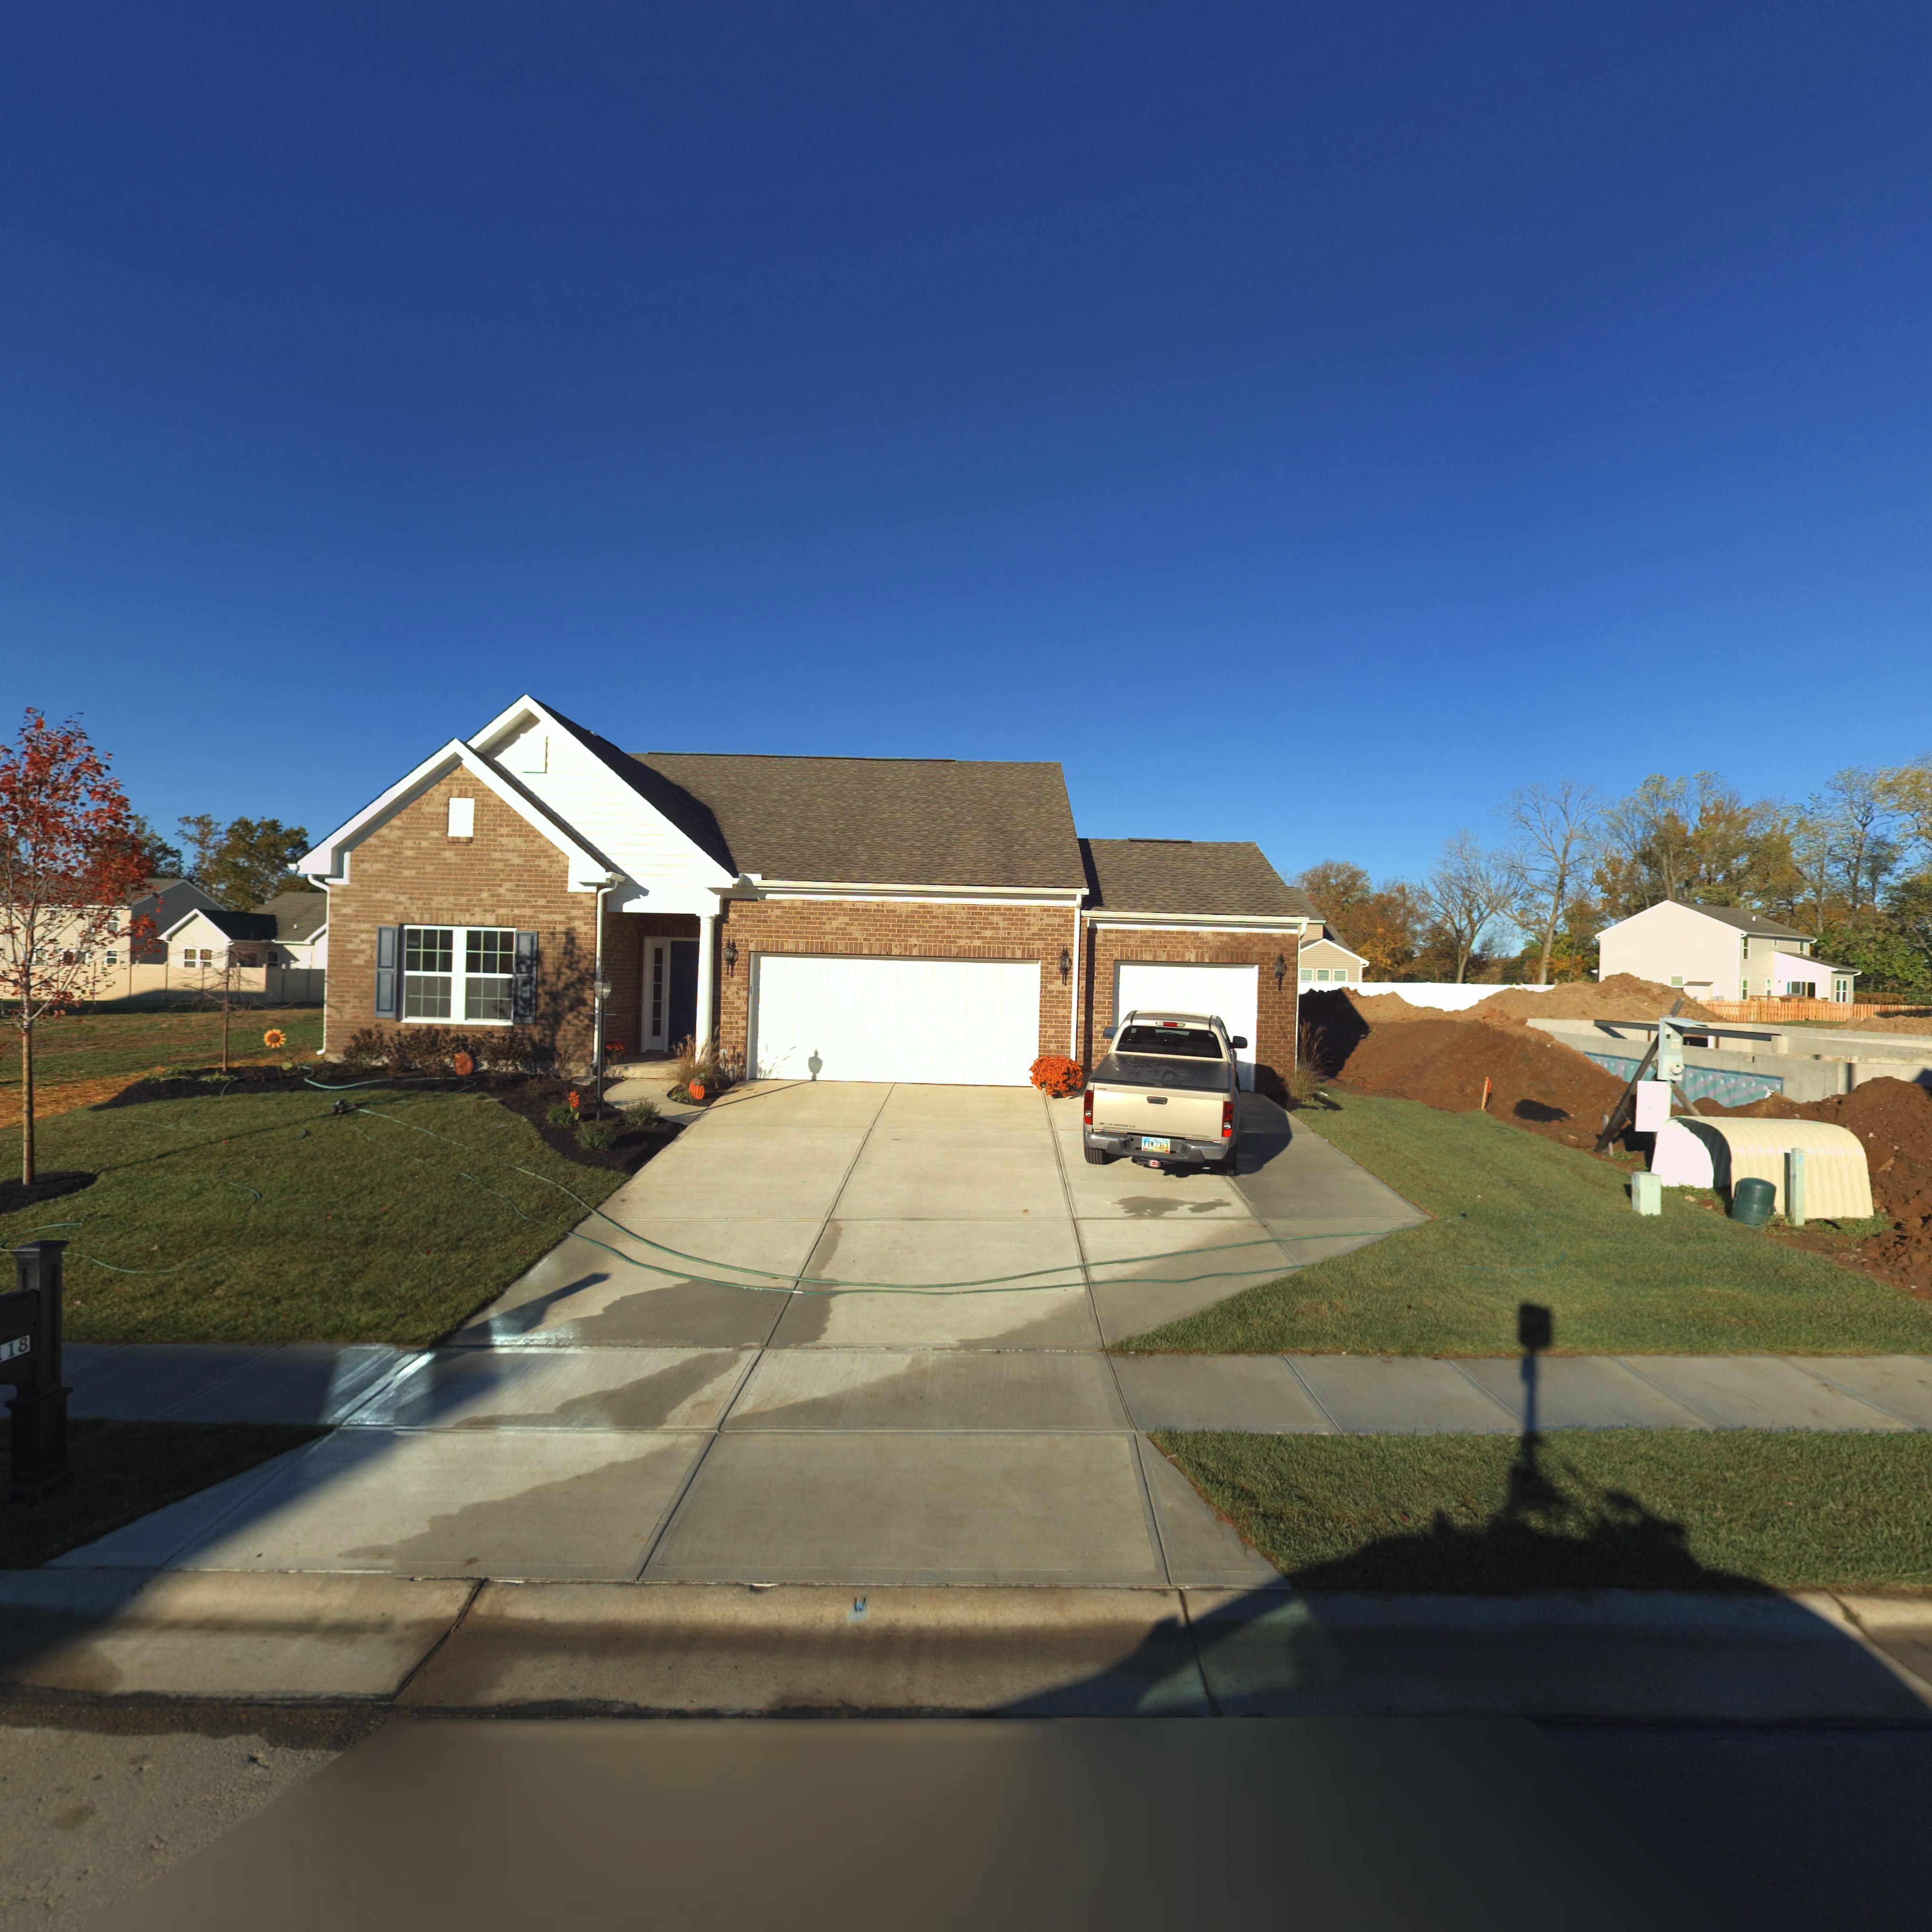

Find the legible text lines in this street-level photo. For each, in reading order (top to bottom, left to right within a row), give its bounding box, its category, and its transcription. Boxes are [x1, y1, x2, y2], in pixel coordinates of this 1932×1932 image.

[7, 1335, 30, 1361] StreetNumber: 18